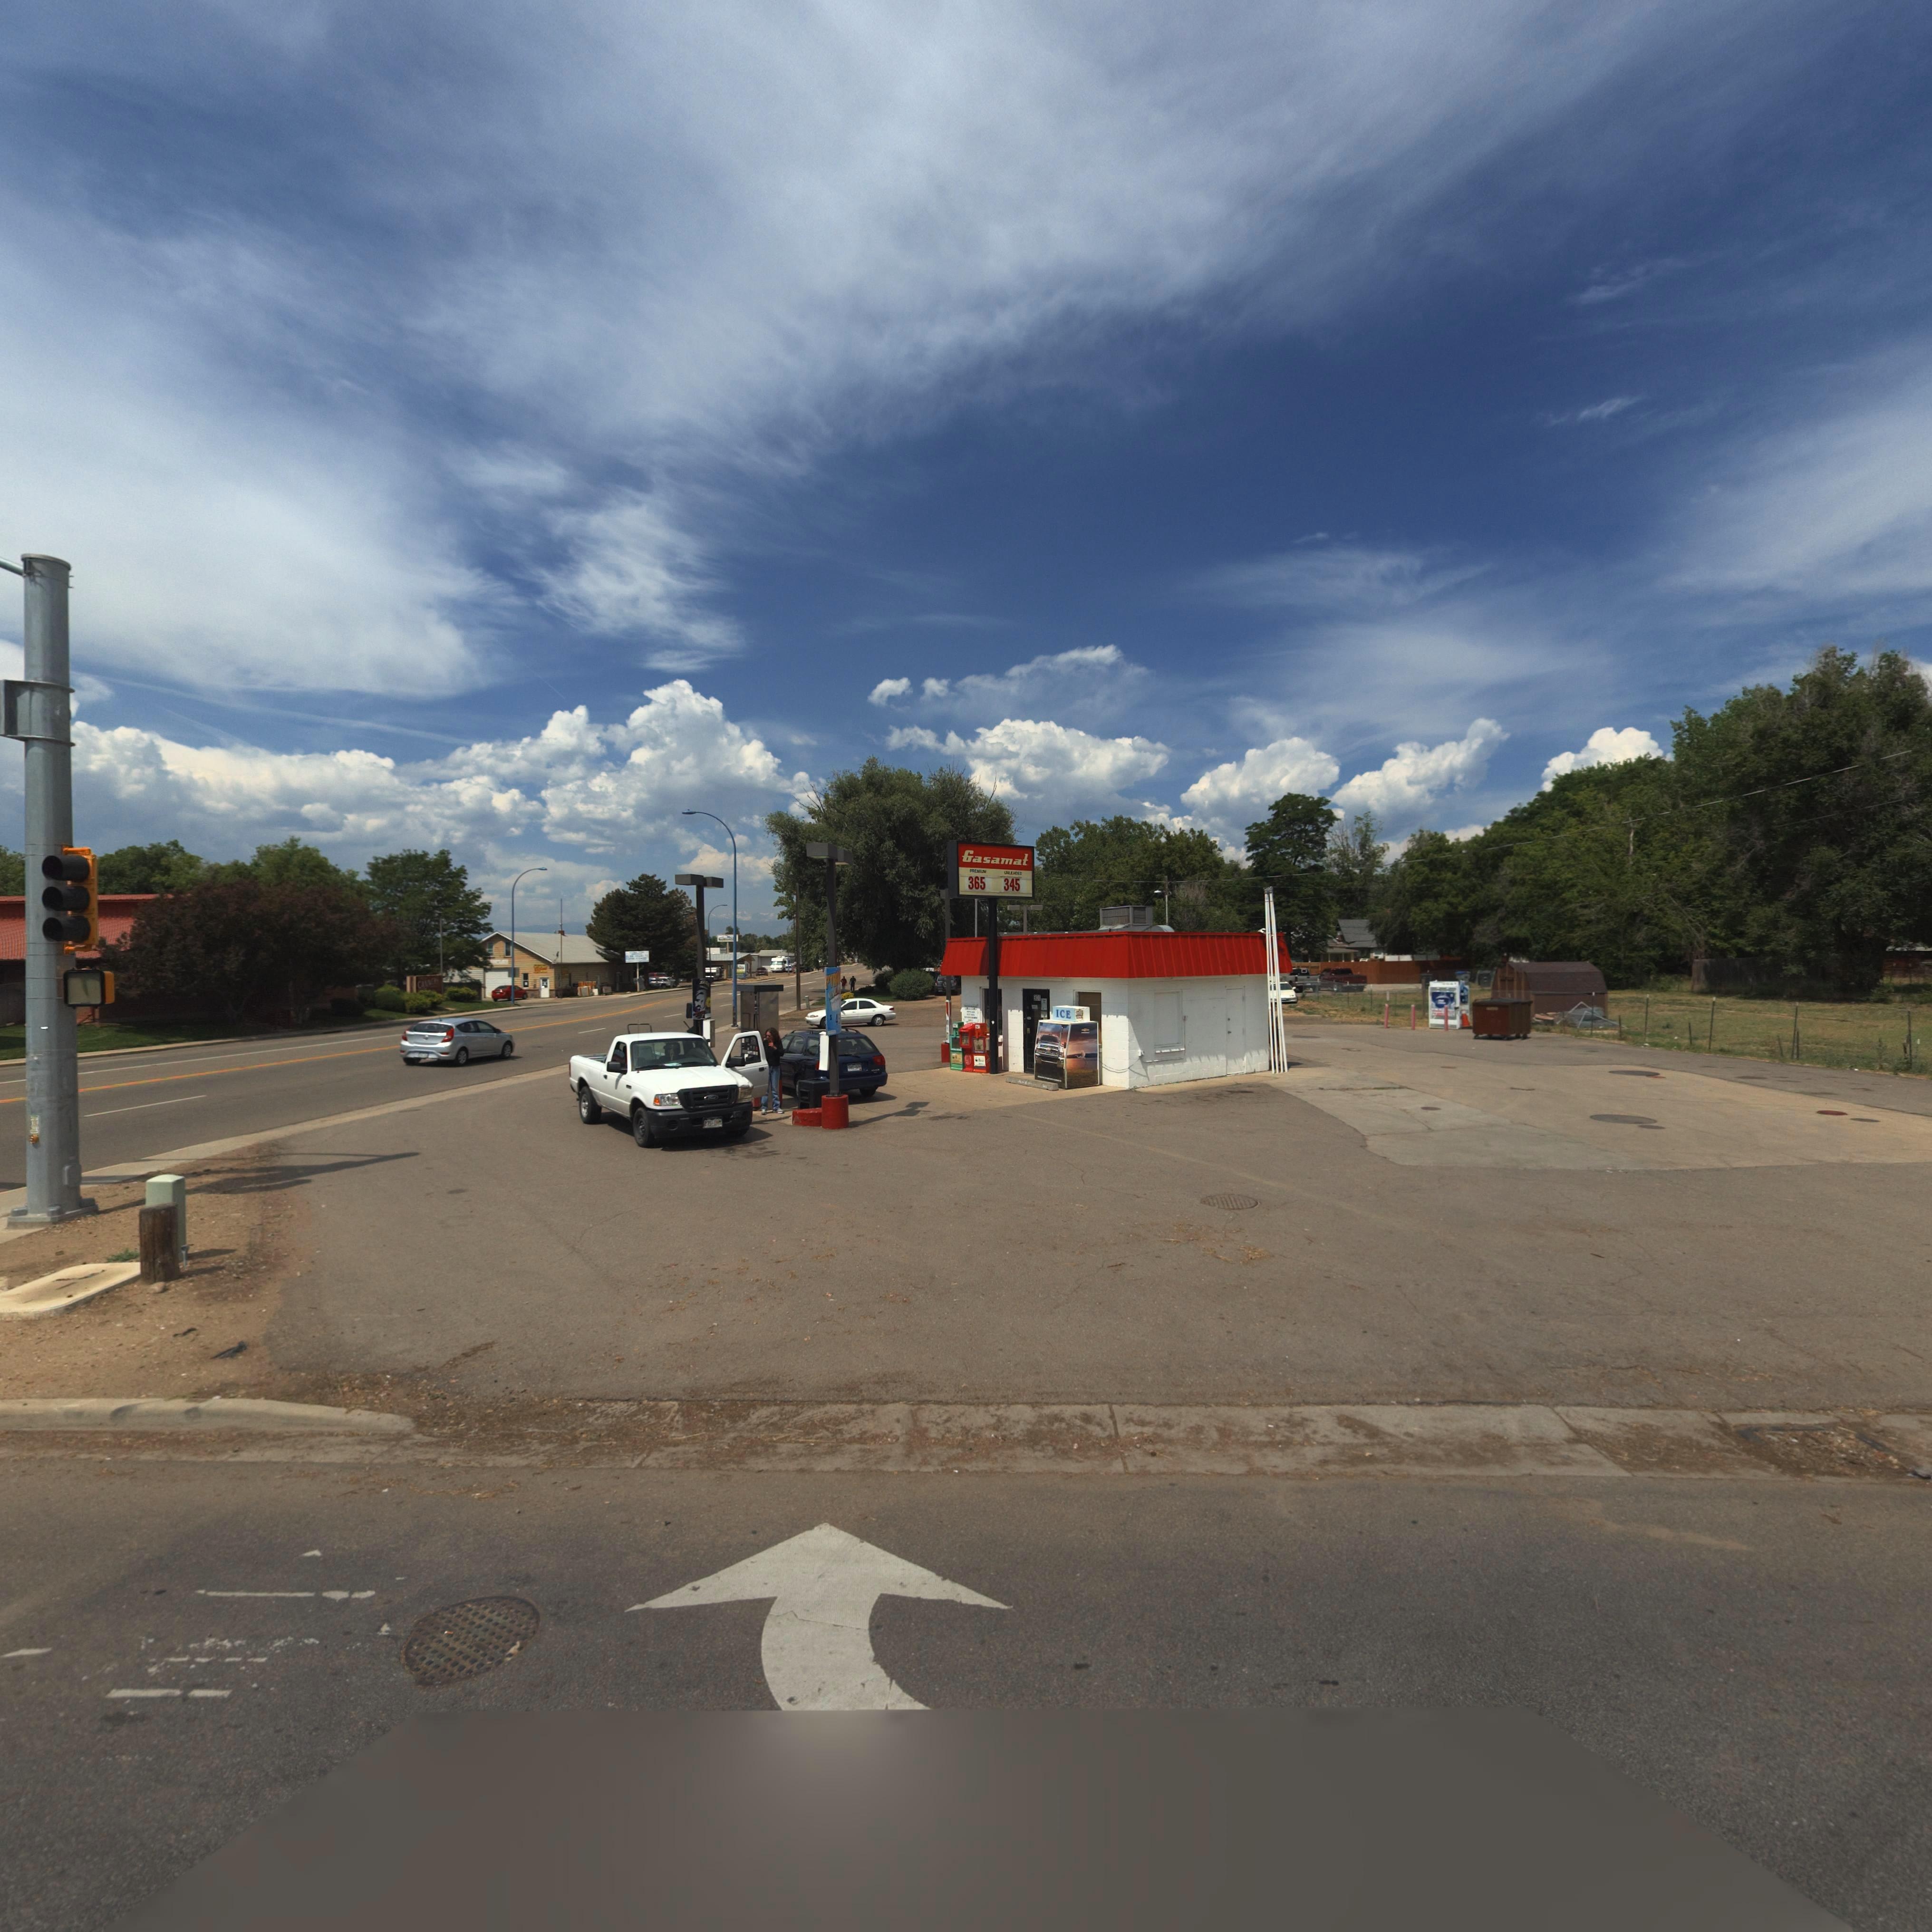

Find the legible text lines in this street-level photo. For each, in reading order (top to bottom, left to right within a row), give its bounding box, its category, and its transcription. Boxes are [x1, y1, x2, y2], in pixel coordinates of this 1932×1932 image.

[961, 850, 1029, 866] BusinessName: Gasamat
[416, 977, 440, 989] BusinessName: CANNAREY